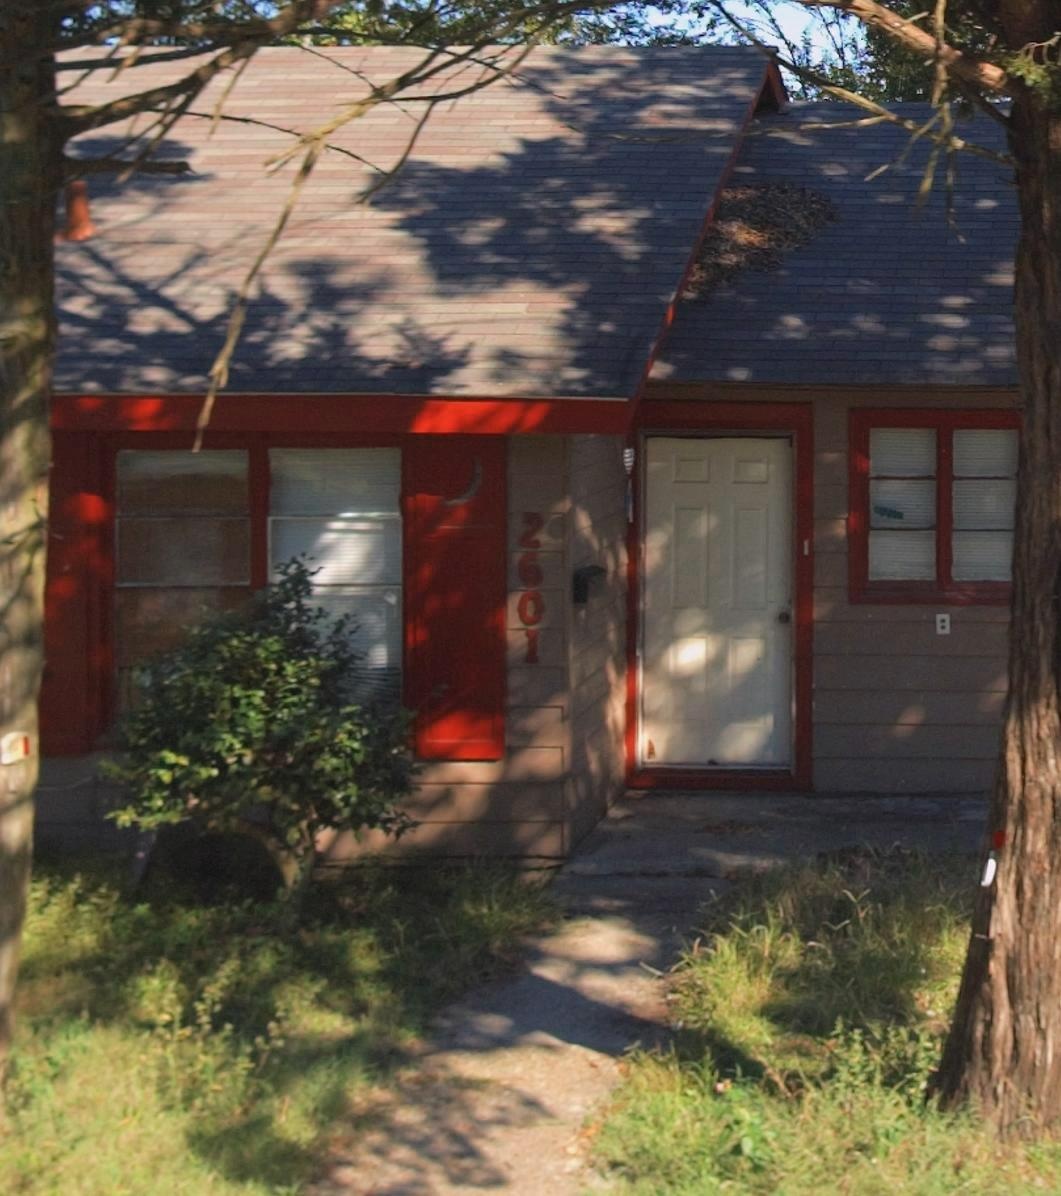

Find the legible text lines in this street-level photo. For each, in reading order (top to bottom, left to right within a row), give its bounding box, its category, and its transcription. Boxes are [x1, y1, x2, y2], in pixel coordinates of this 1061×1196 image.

[513, 508, 549, 666] StreetNumber: 2601